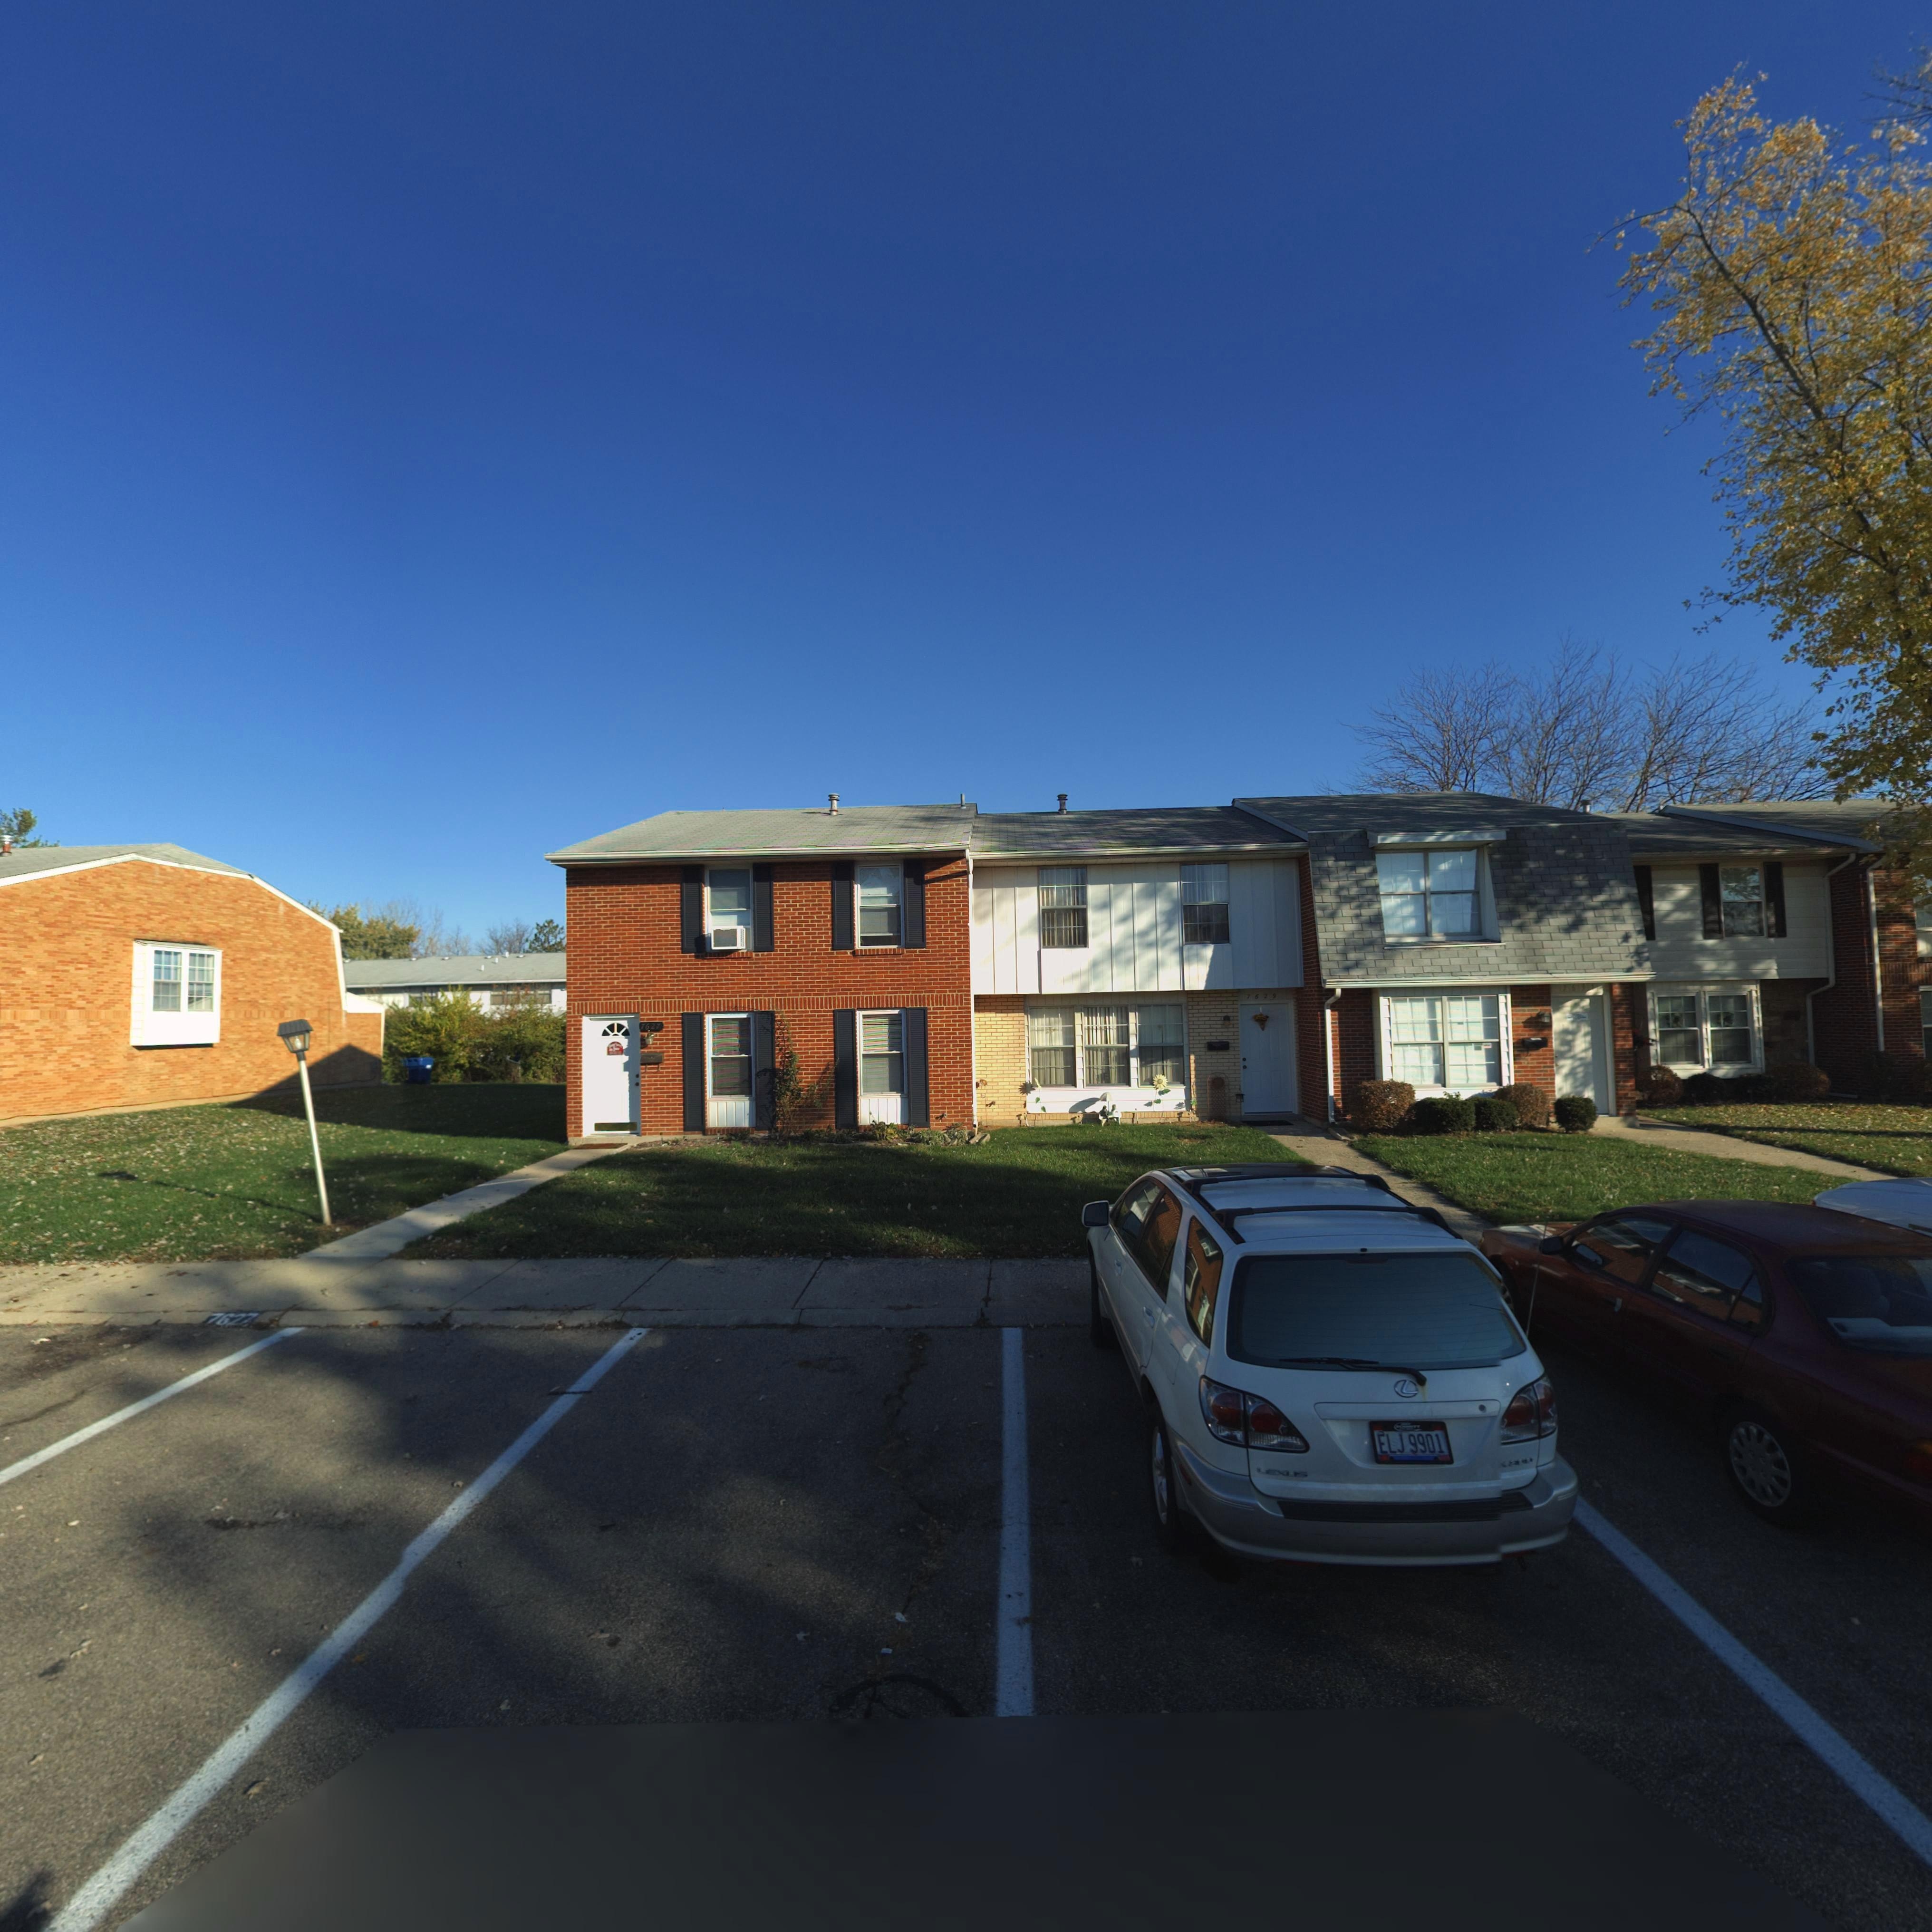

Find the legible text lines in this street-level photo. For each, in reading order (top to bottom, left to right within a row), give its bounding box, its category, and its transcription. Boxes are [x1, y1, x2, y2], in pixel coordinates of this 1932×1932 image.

[1562, 983, 1595, 992] StreetNumber: 7633
[1246, 993, 1276, 999] StreetNumber: 7629
[640, 1023, 661, 1030] StreetNumber: 7627
[204, 1312, 260, 1327] StreetNumber: 7627